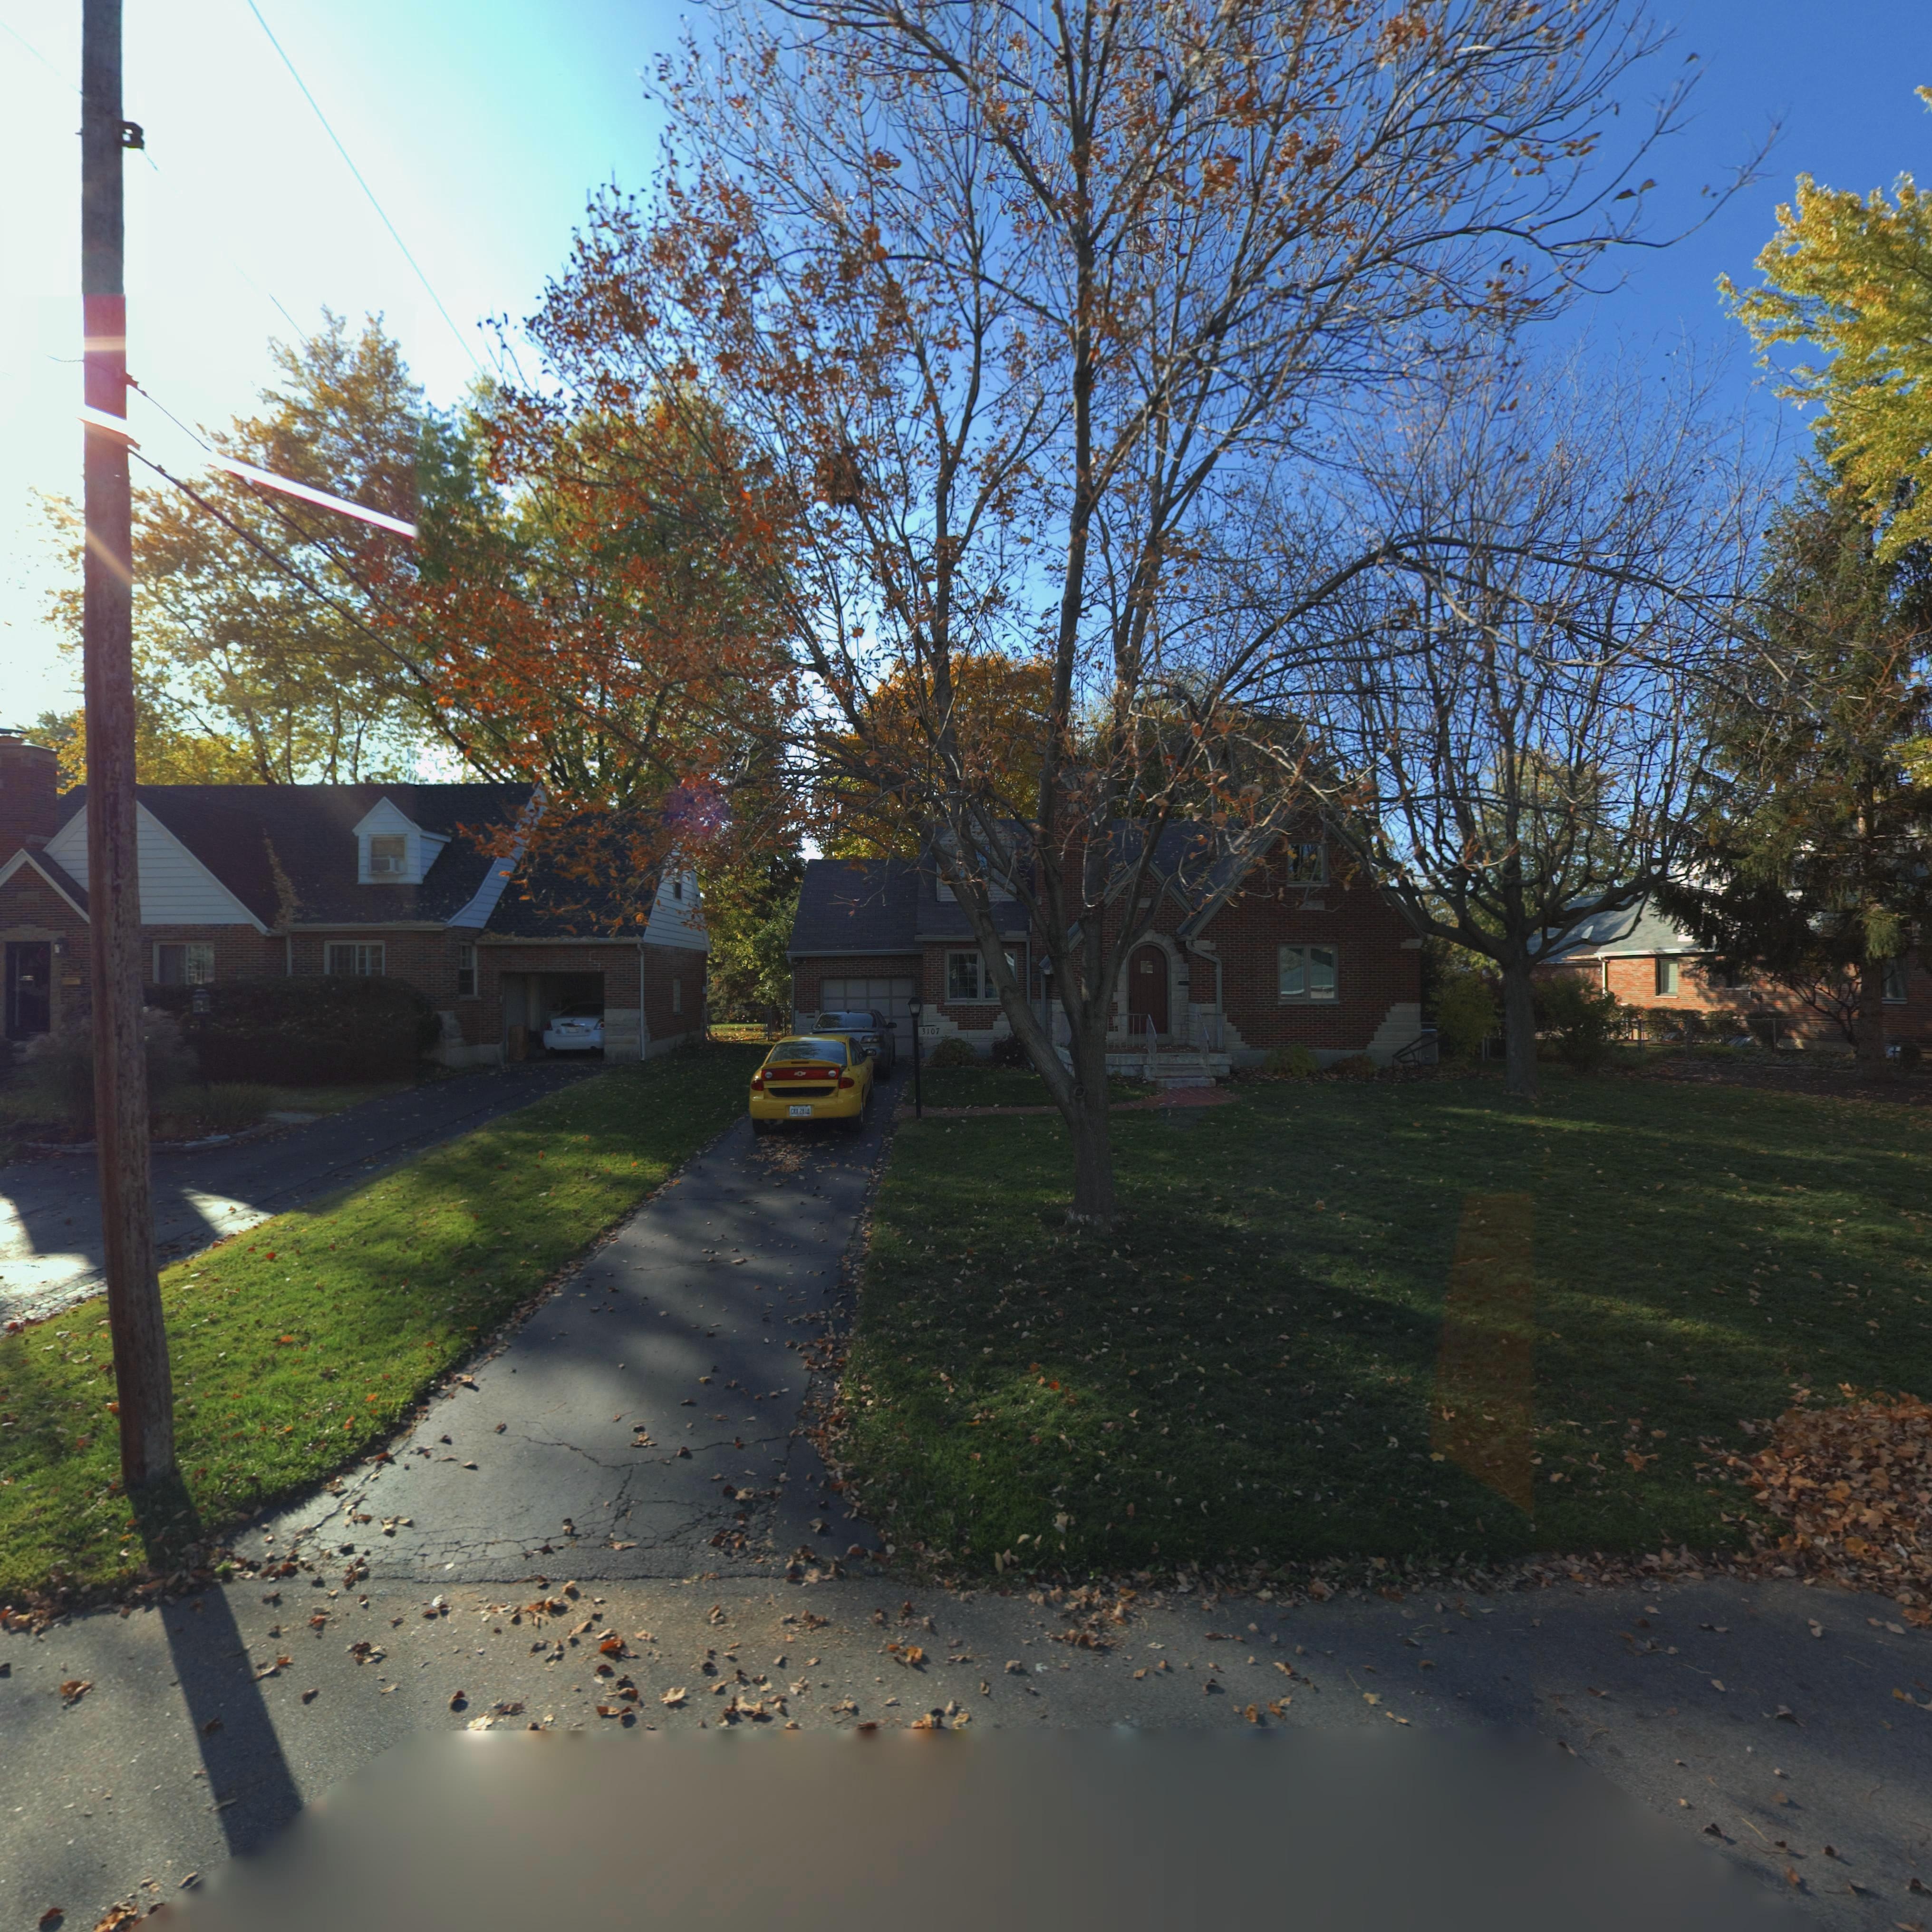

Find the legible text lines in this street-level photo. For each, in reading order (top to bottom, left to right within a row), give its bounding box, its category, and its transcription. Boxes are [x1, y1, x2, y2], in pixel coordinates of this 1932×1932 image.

[921, 1027, 941, 1035] StreetNumber: 3107